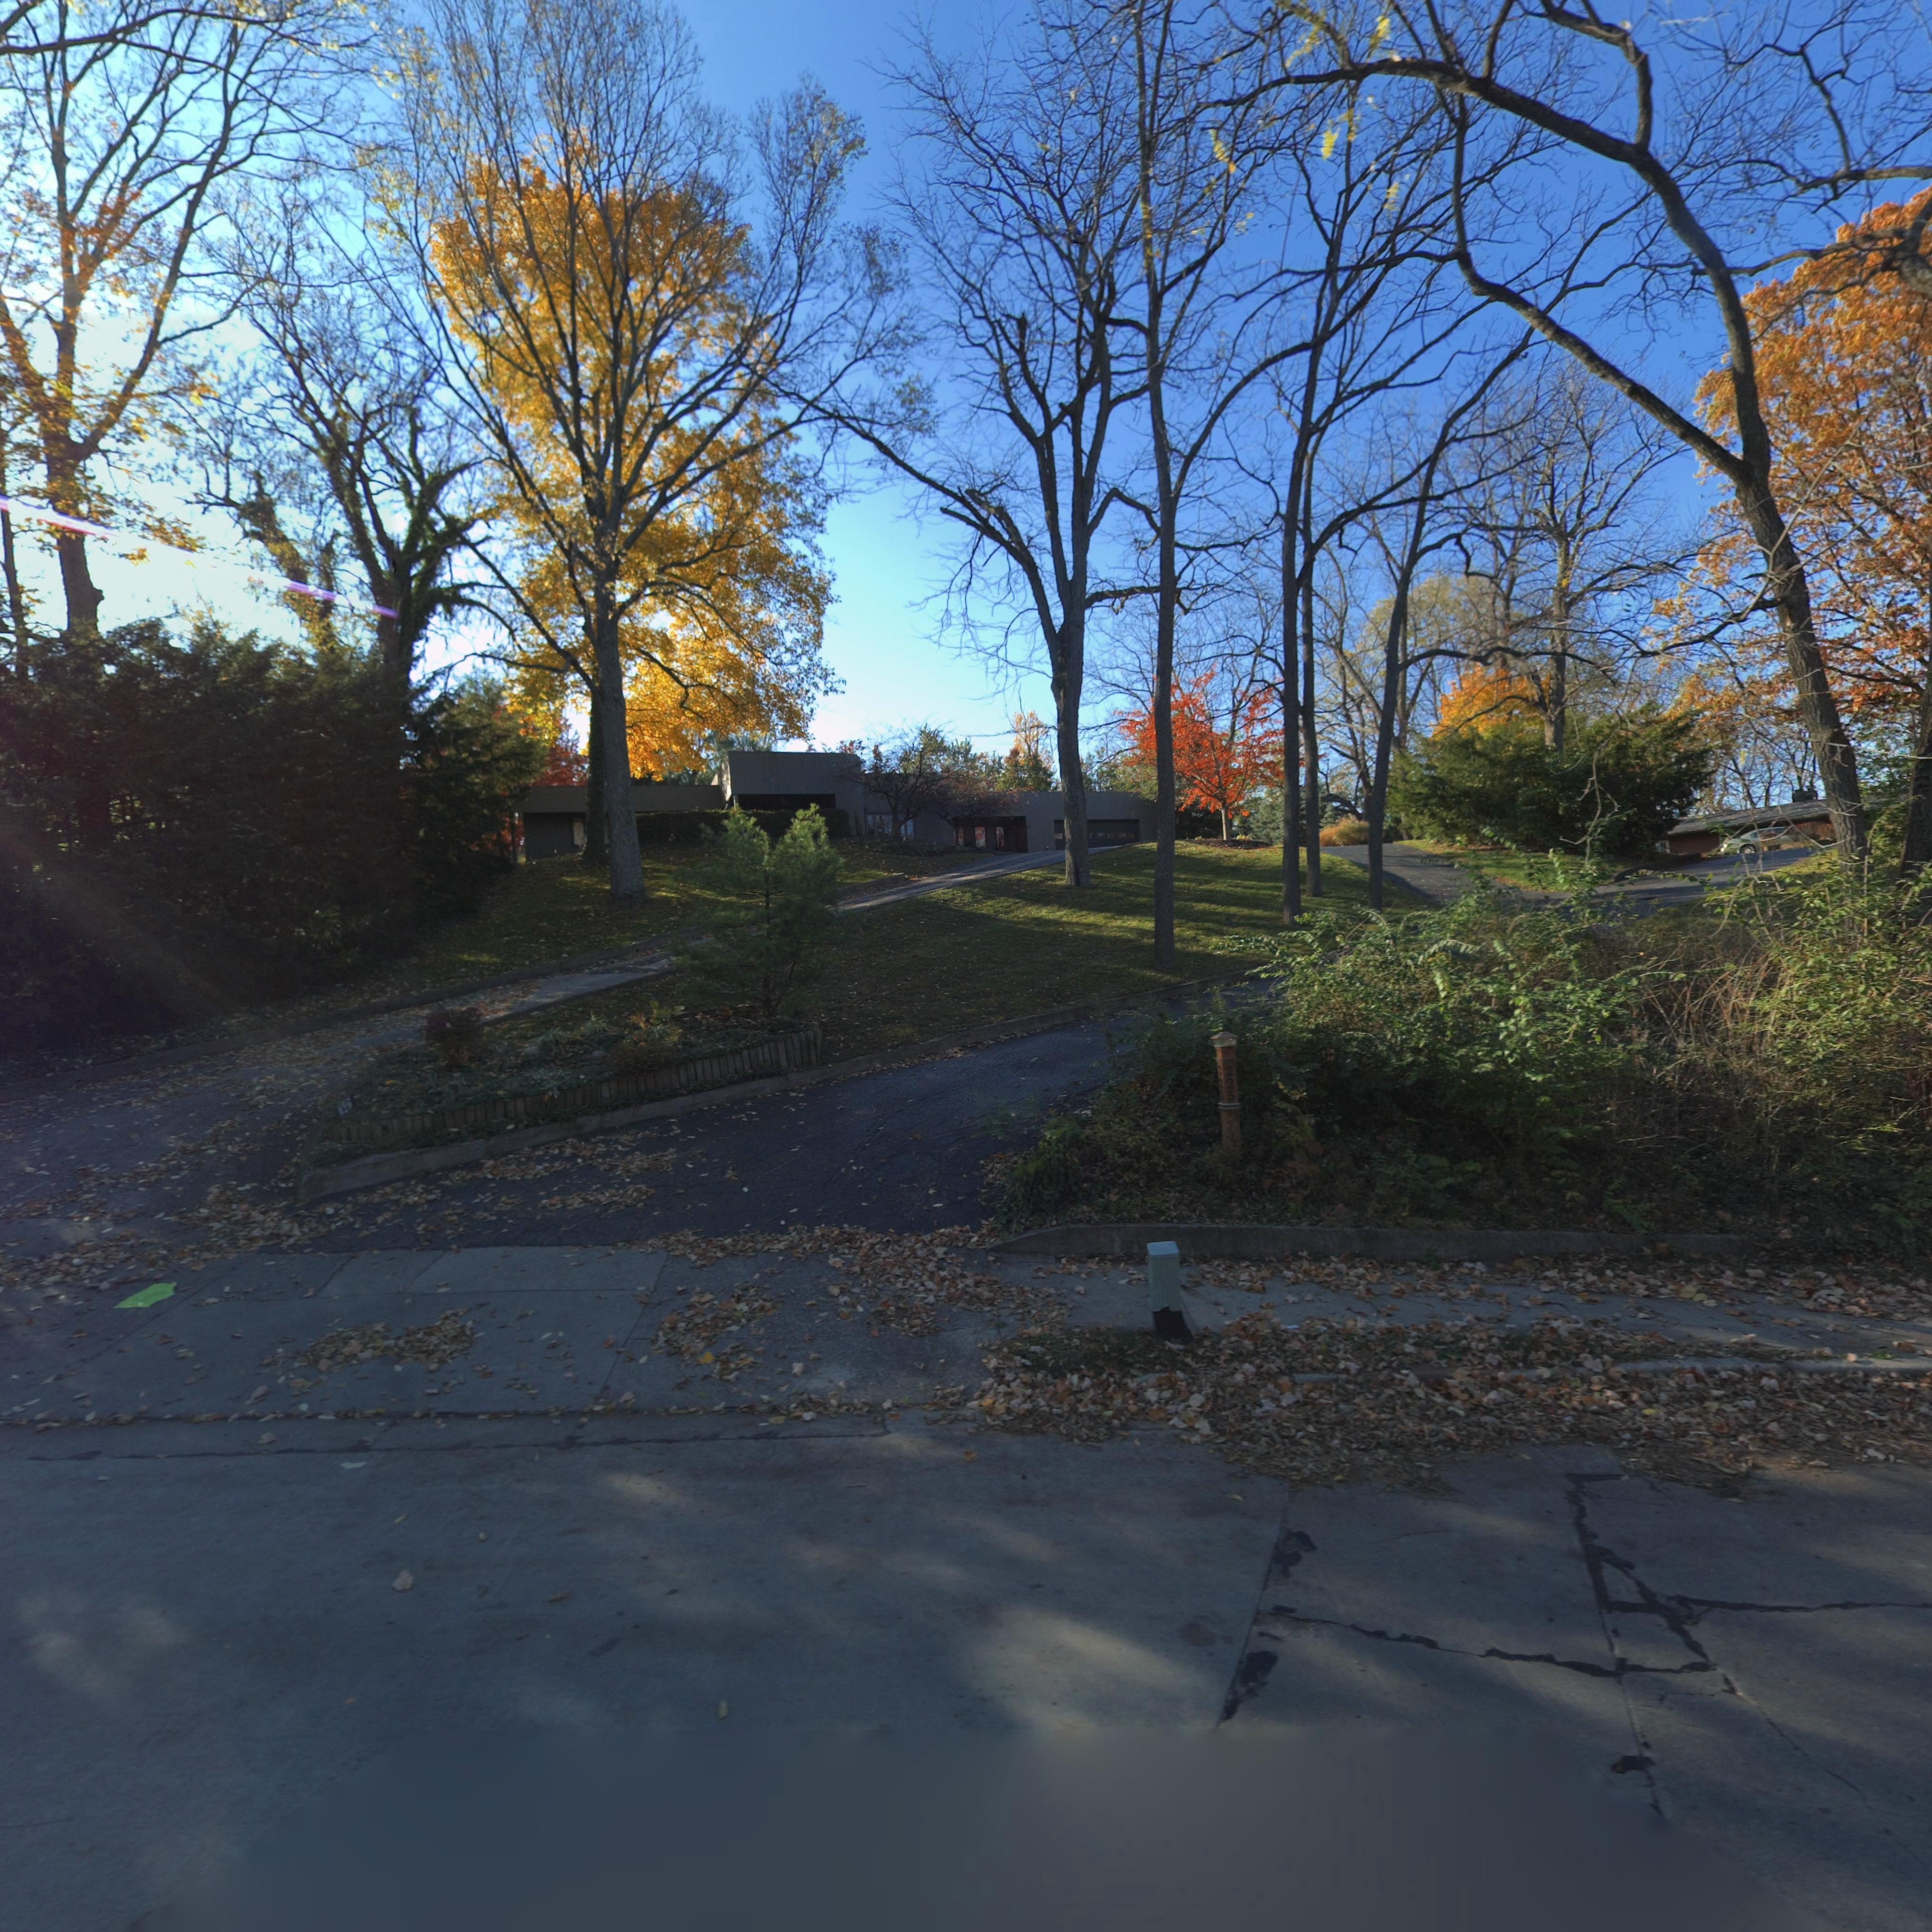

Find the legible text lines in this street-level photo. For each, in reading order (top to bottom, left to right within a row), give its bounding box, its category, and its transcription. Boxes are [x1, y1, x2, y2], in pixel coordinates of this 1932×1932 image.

[1217, 1064, 1224, 1101] StreetNumber: 225
[1225, 1065, 1235, 1101] StreetNumber: 225
[337, 1095, 354, 1118] StreetNumber: **5